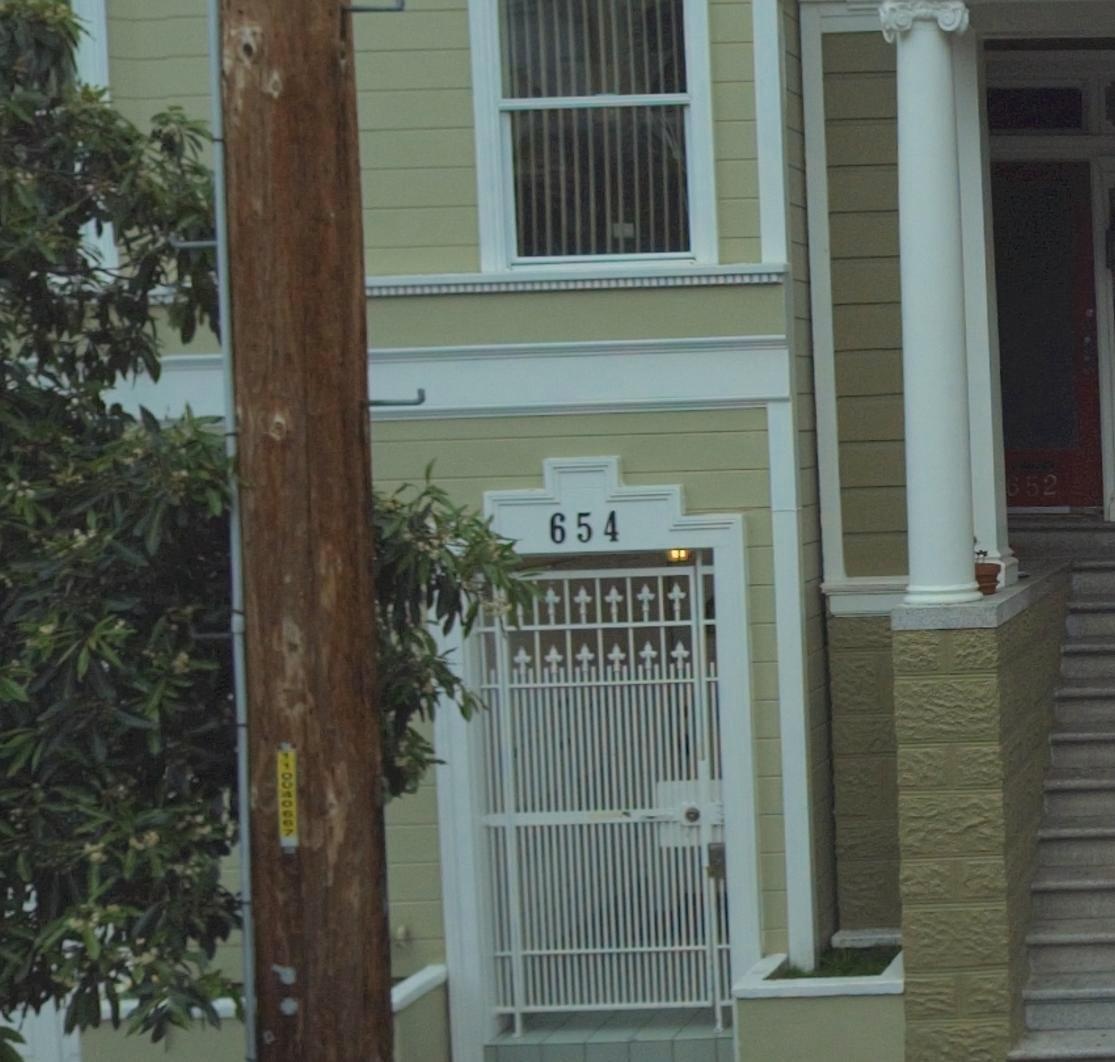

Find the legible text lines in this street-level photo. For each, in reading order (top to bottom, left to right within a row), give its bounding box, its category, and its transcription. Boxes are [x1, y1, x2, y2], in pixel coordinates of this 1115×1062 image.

[1005, 473, 1058, 497] StreetNumber: 652
[548, 508, 620, 546] StreetNumber: 654
[278, 751, 294, 836] None: 110040667